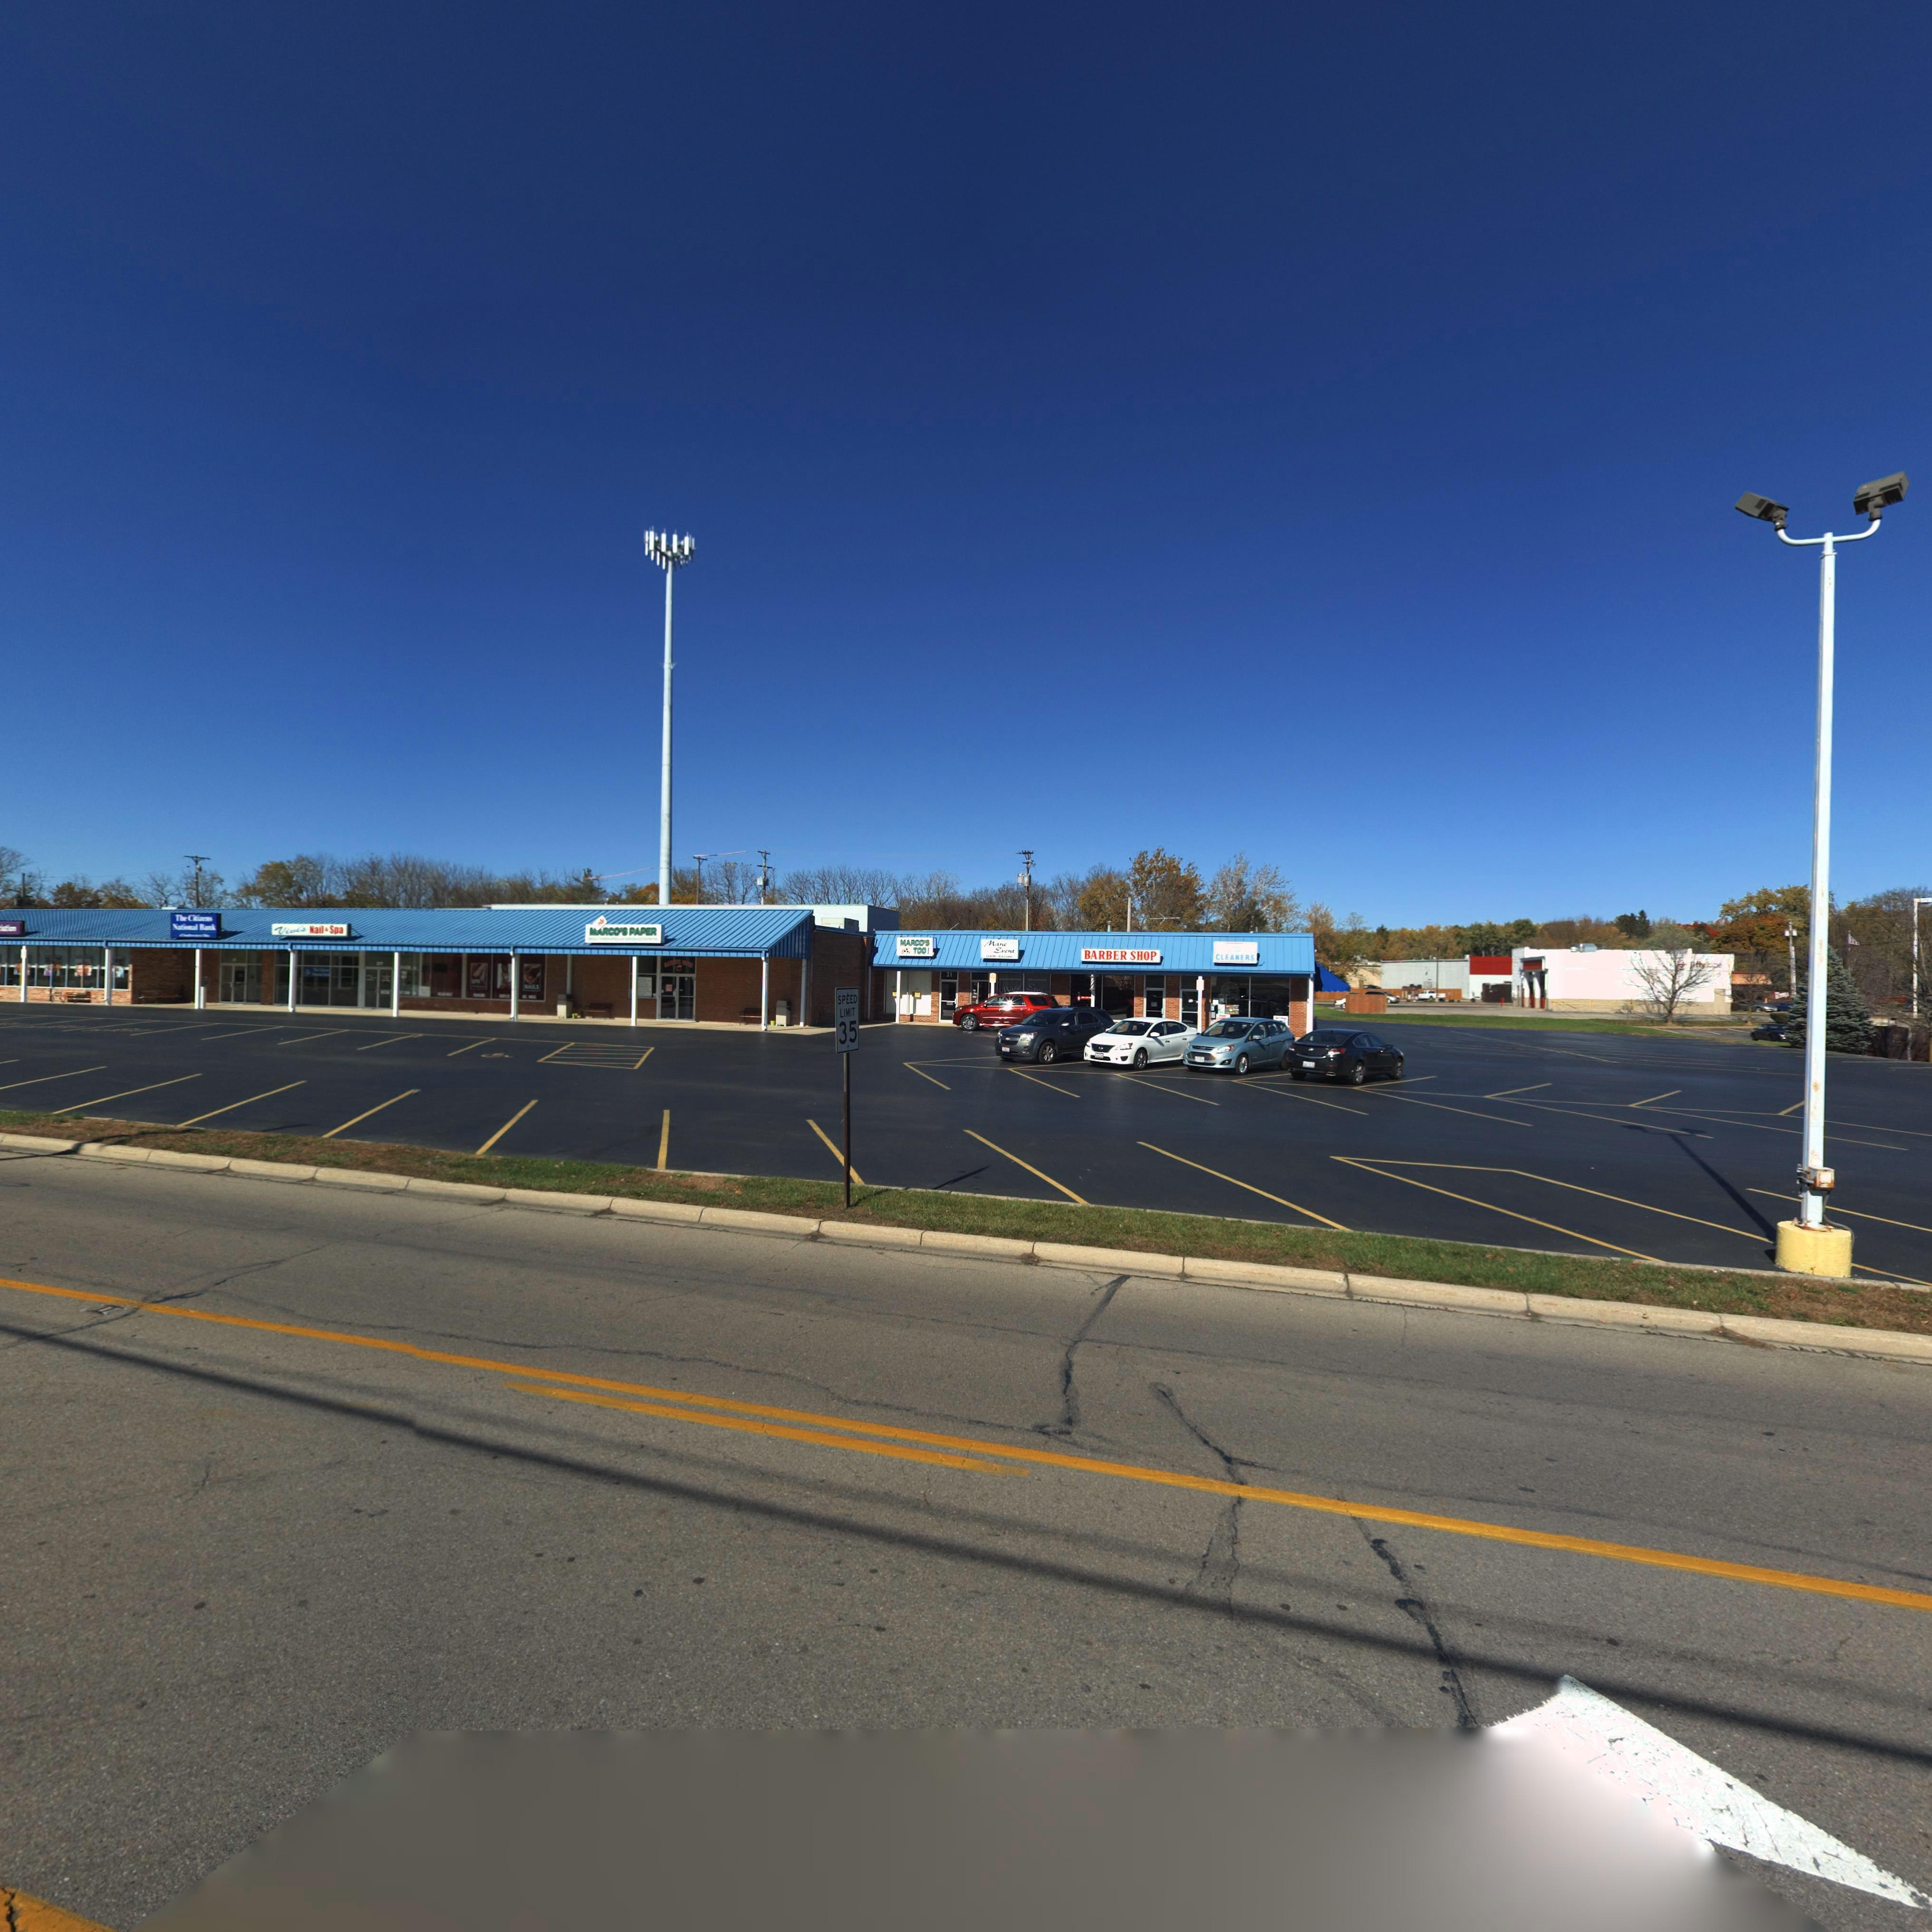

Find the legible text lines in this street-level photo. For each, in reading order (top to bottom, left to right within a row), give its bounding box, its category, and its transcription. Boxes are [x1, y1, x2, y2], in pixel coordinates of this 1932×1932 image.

[174, 913, 213, 922] BusinessName: The Citizens
[172, 923, 217, 931] BusinessName: National Bank
[273, 925, 344, 935] BusinessName: Vi**'s Nail & Spa
[589, 927, 658, 937] BusinessName: MARCO'S PAPER
[899, 938, 930, 947] BusinessName: MARCO'S
[982, 939, 1007, 947] BusinessName: Mane
[912, 947, 927, 955] BusinessName: TOO
[993, 946, 1015, 954] BusinessName: Event
[1083, 949, 1157, 961] BusinessName: BARBER SHOP
[1215, 953, 1255, 961] BusinessName: CLEANERS
[946, 971, 953, 977] StreetNumber: 21
[837, 994, 858, 1005] None: SPEED
[839, 1006, 856, 1018] None: LIMIT
[838, 1020, 857, 1045] None: 35